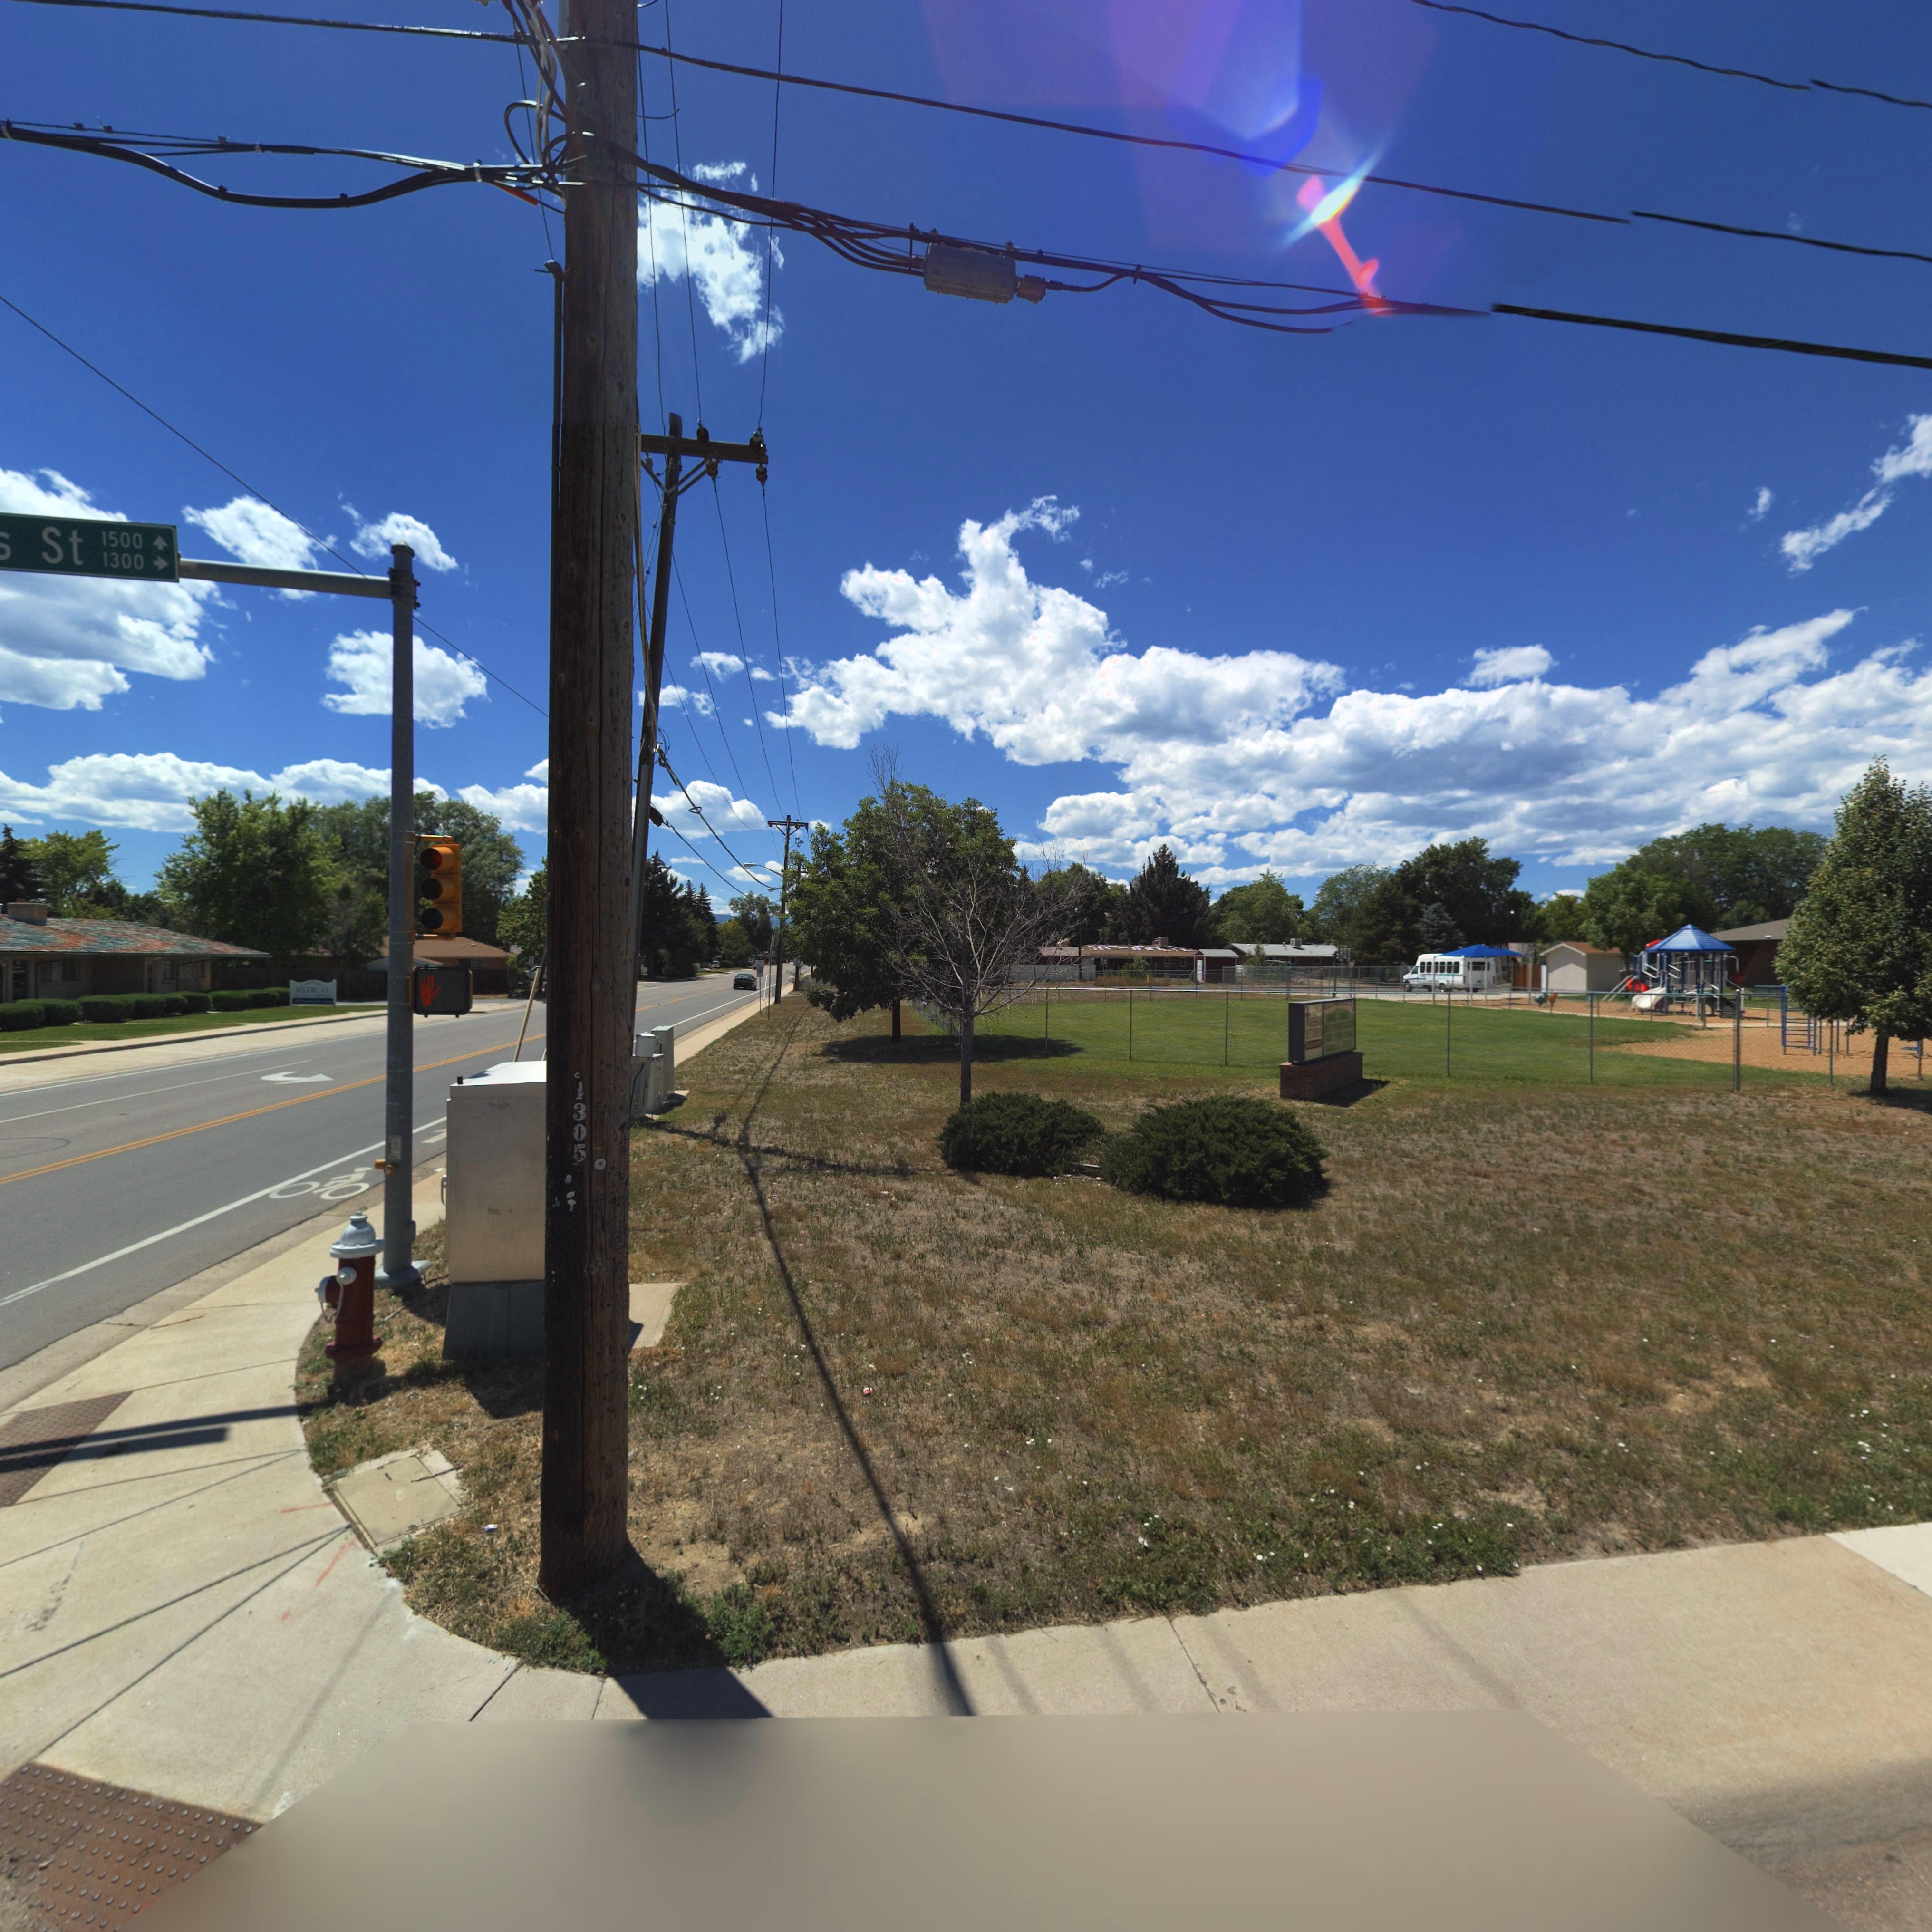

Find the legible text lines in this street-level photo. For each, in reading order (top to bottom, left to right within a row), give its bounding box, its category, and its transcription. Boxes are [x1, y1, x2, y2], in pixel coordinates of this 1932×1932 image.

[40, 525, 83, 566] StreetName: St
[102, 531, 142, 549] StreetNumberRange: 1500
[103, 550, 171, 572] StreetNumberRange: 1300 ->
[295, 986, 330, 993] BusinessName: MEDICAL